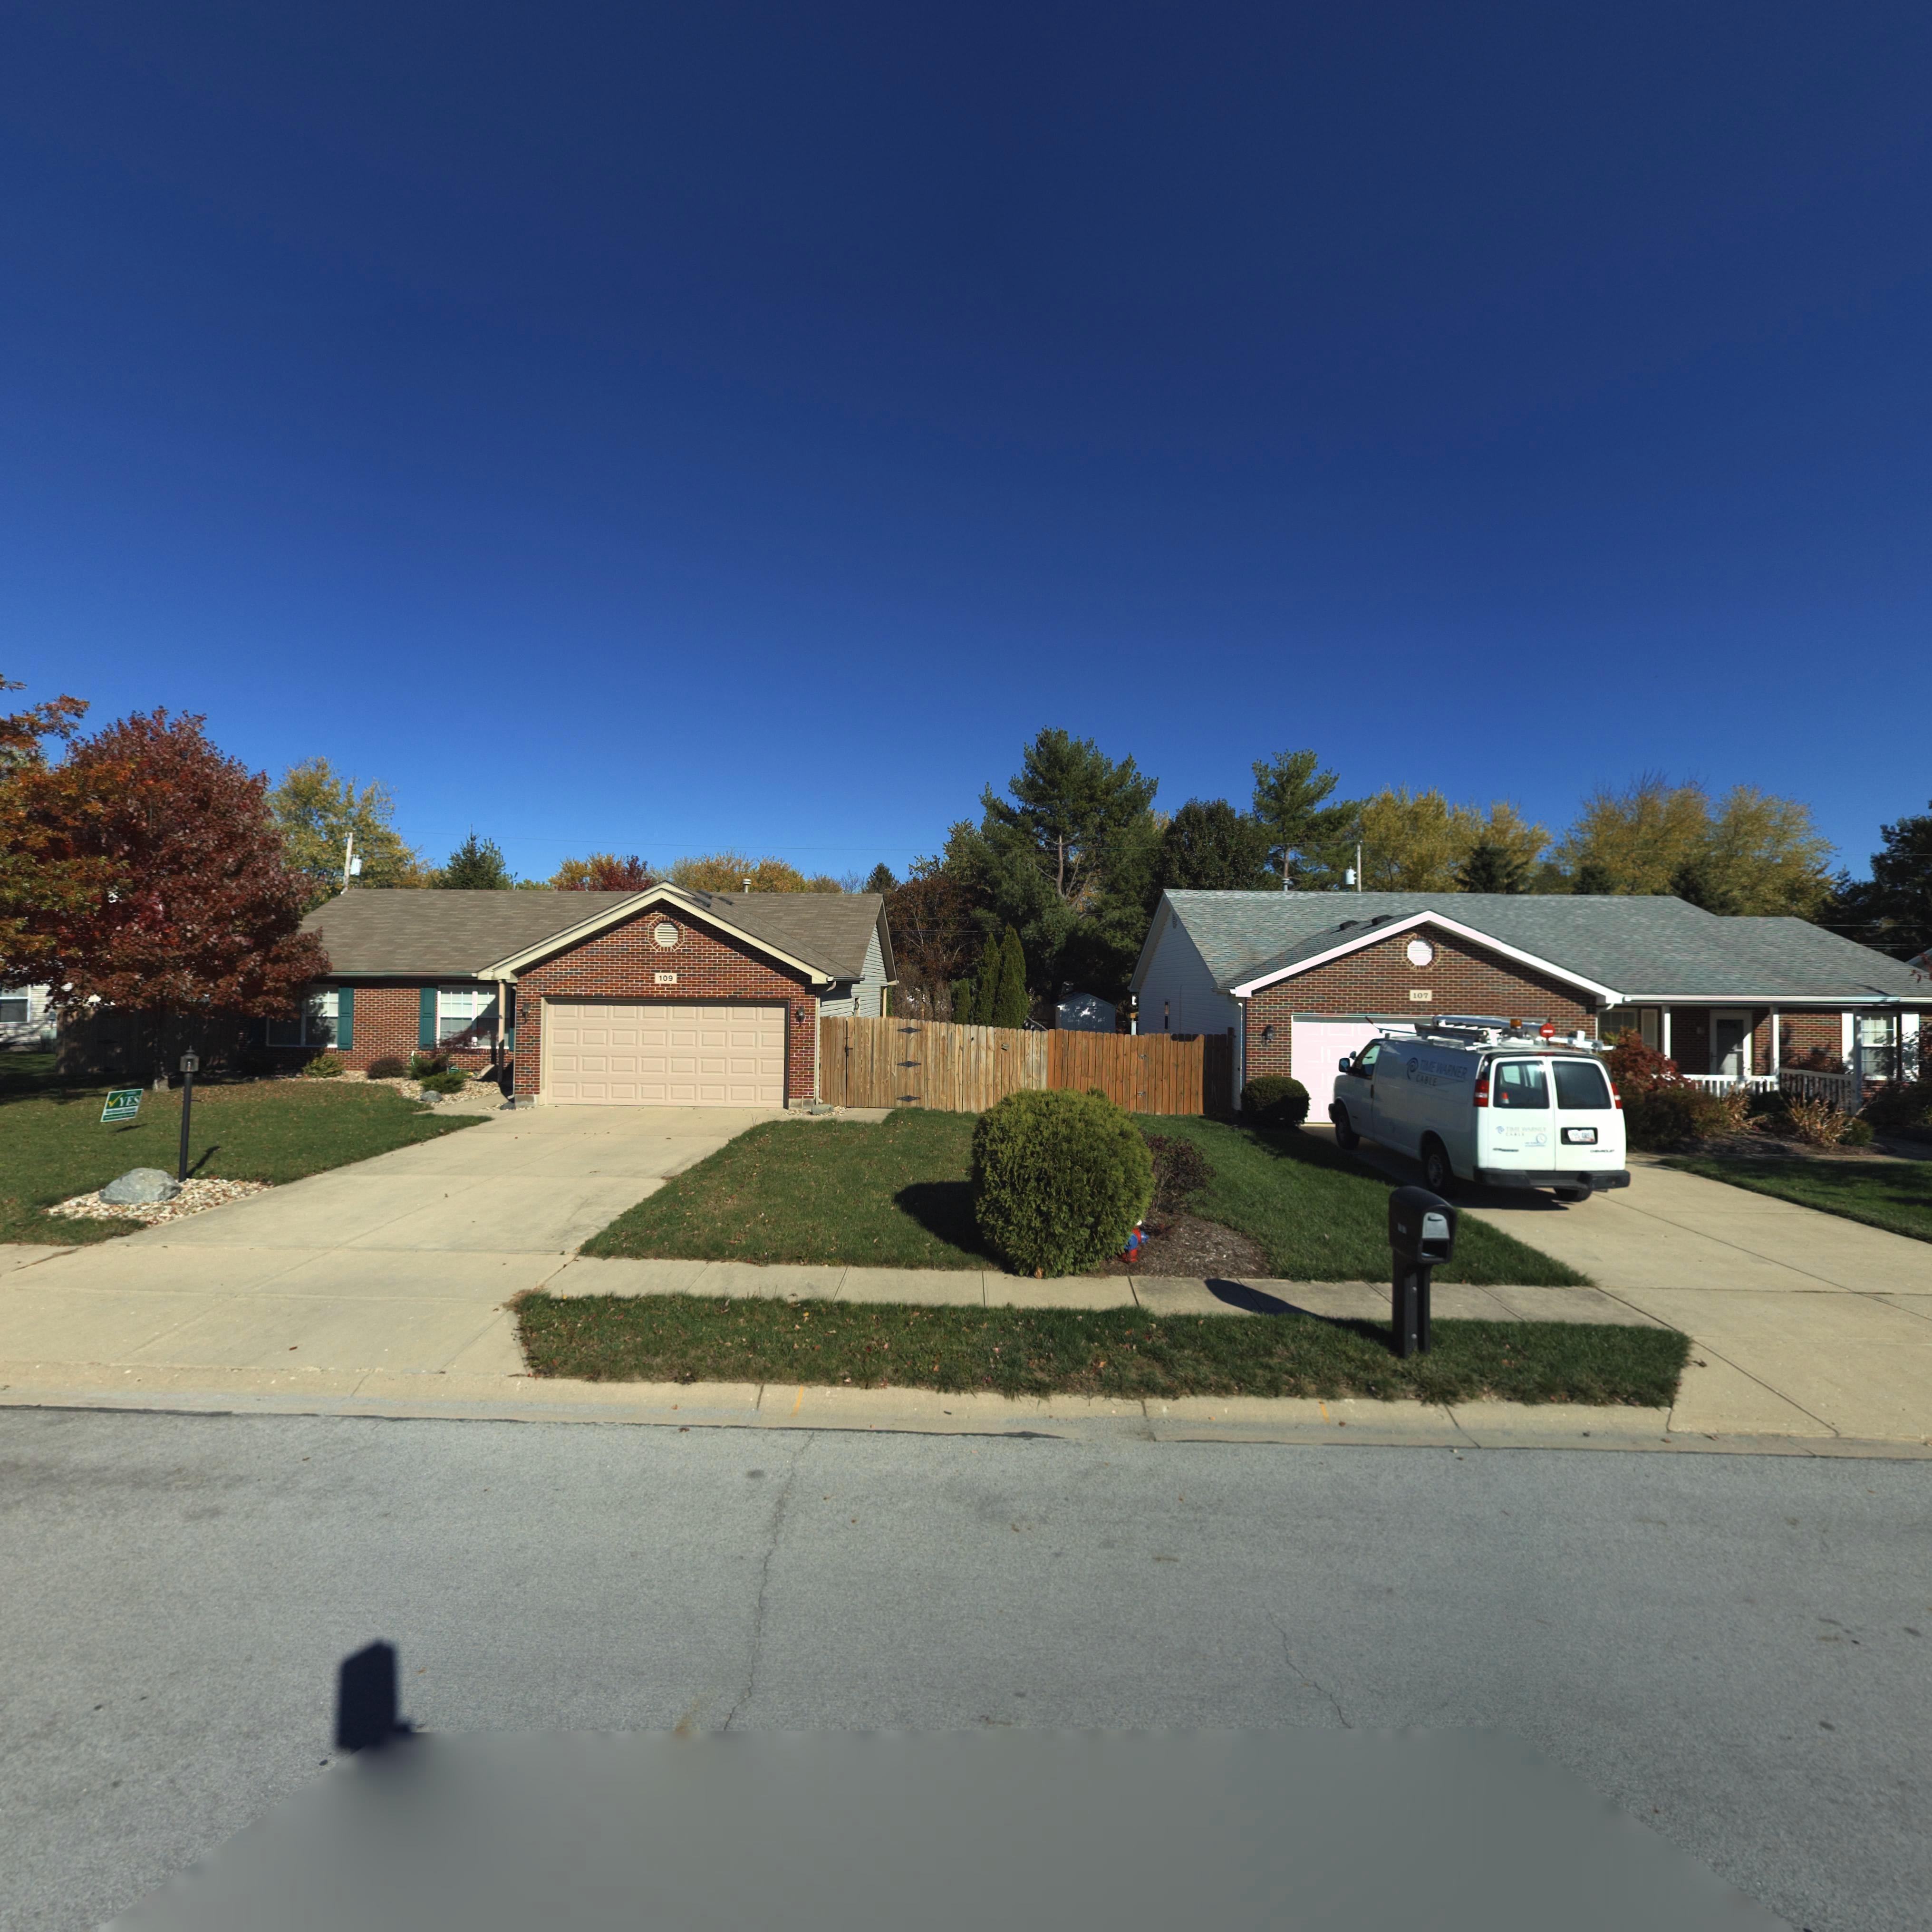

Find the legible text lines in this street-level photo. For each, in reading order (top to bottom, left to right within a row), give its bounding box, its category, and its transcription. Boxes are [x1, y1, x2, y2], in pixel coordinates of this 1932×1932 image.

[659, 975, 673, 982] StreetNumber: 109
[1412, 992, 1429, 999] StreetNumber: 107
[1419, 1058, 1469, 1082] None: TIME WARNER
[1414, 1073, 1439, 1088] None: CABLE
[118, 1095, 141, 1108] None: YES